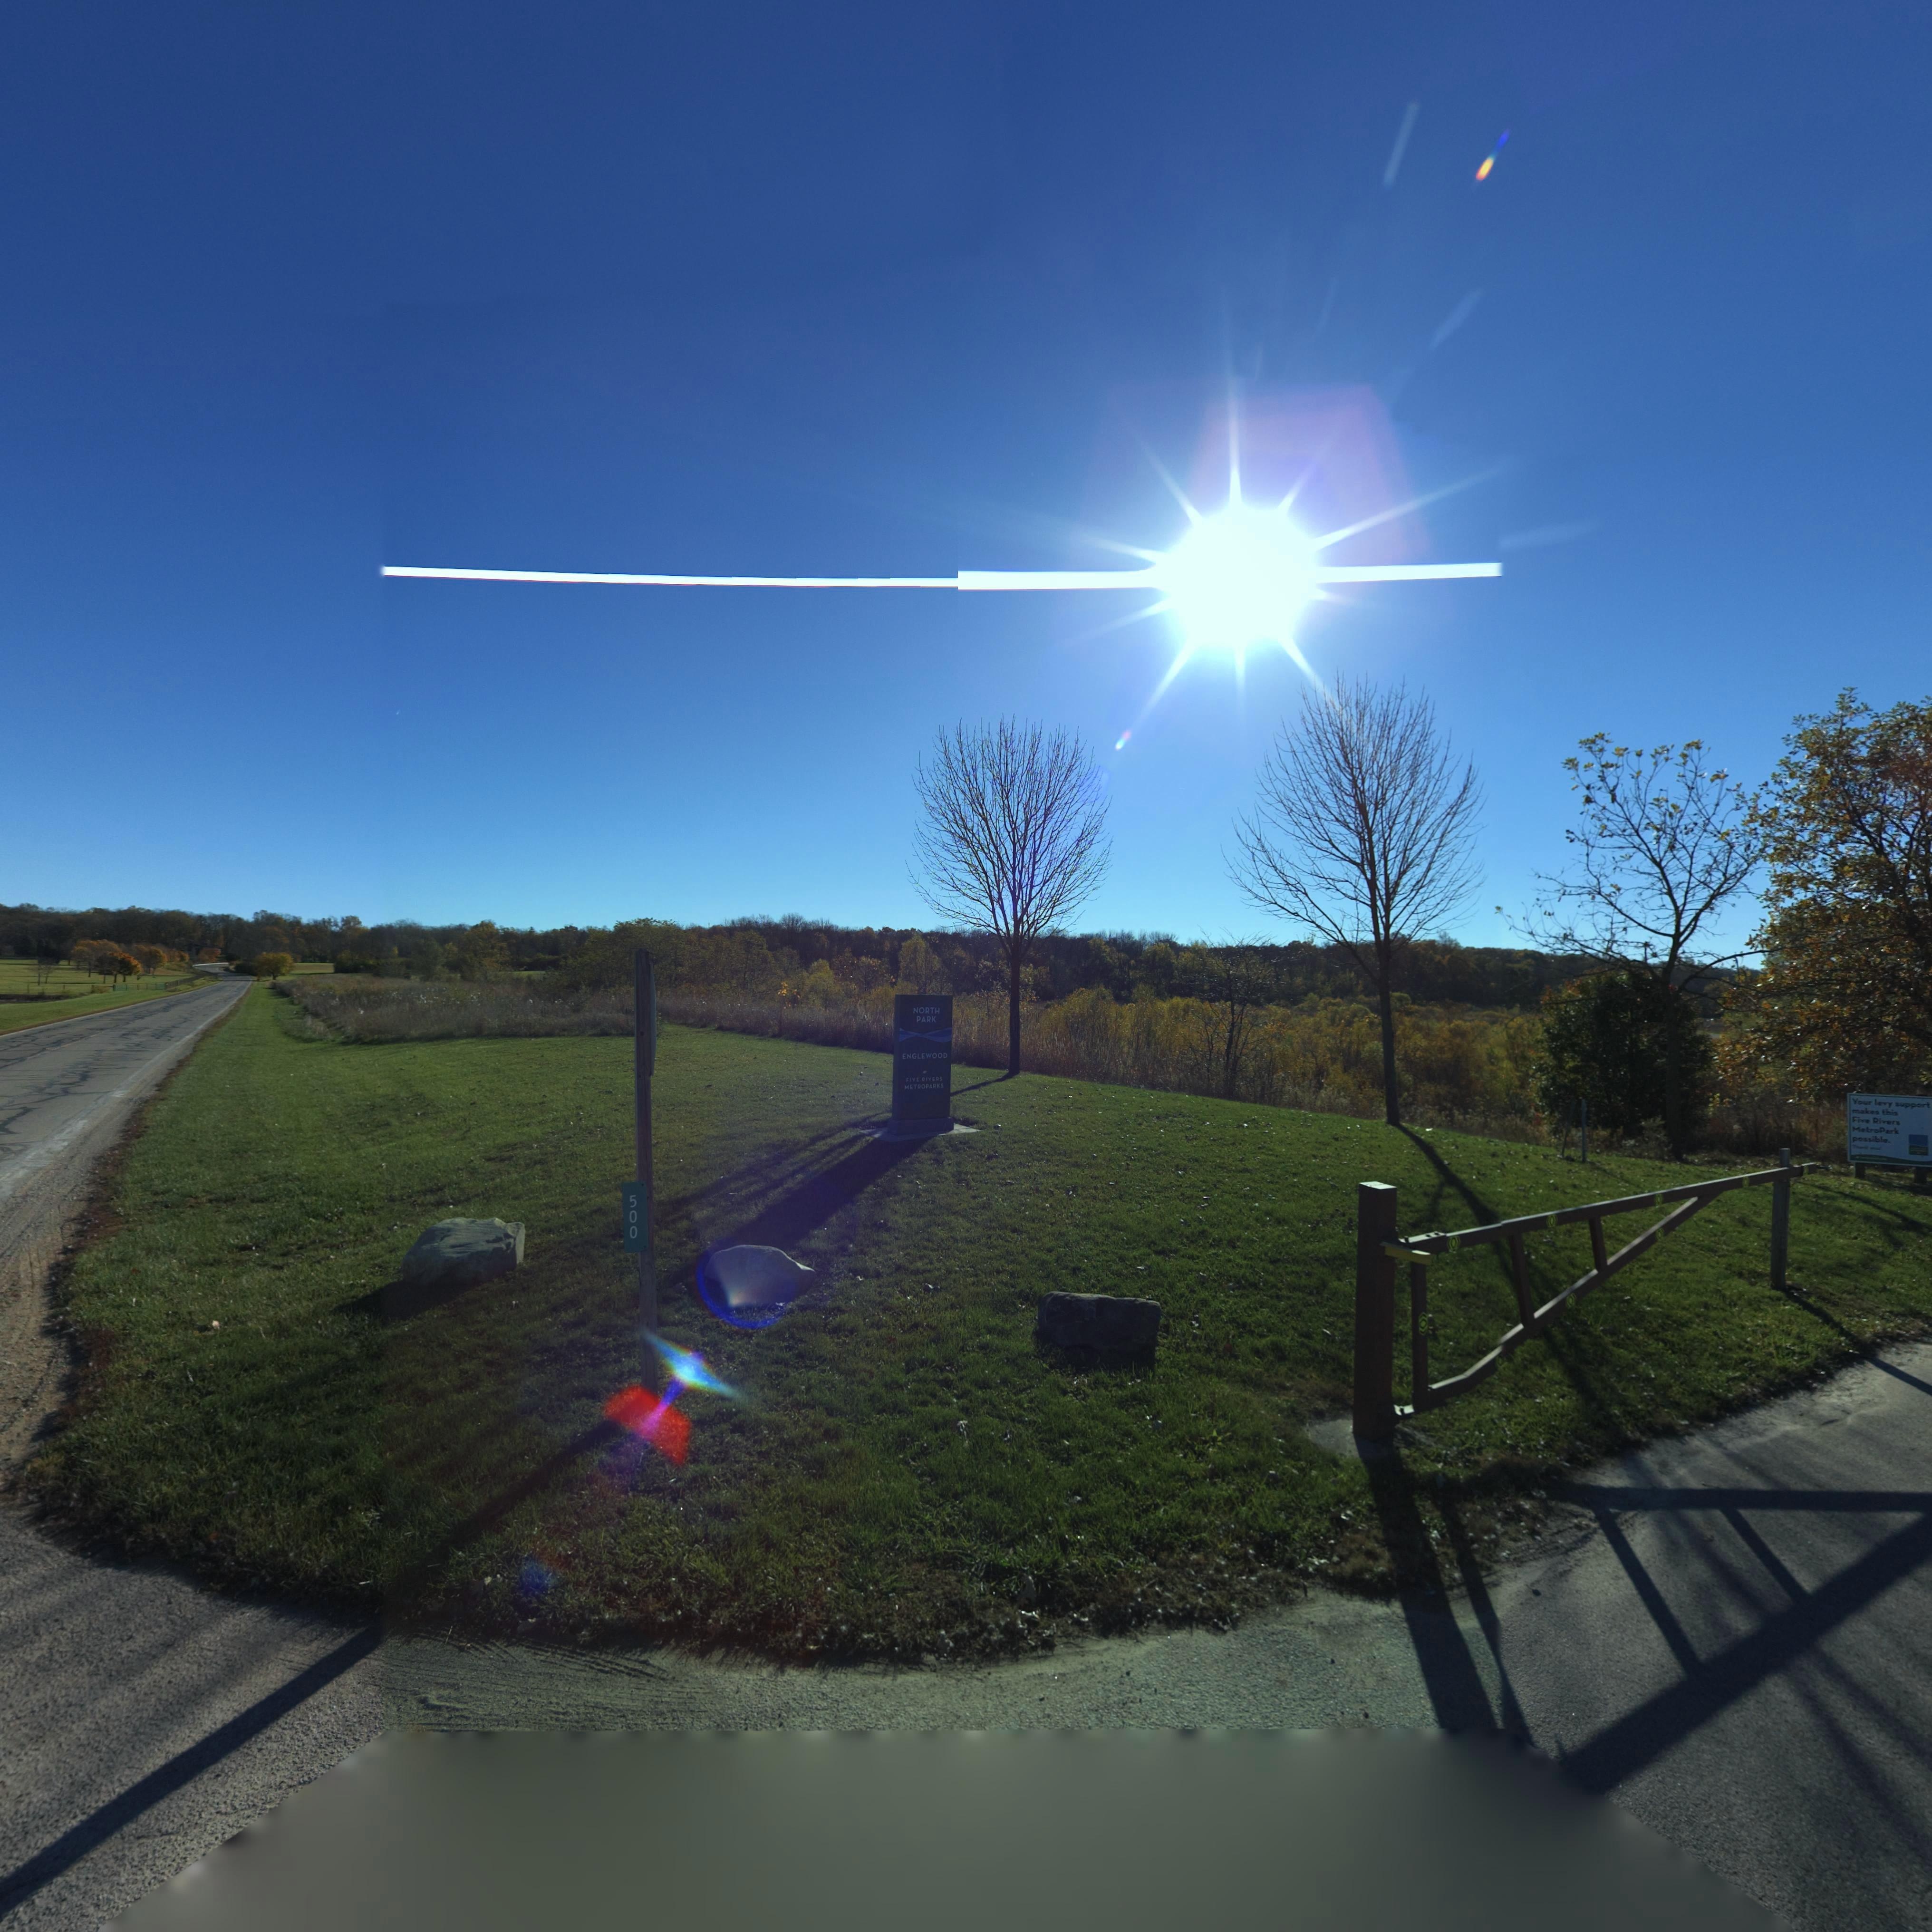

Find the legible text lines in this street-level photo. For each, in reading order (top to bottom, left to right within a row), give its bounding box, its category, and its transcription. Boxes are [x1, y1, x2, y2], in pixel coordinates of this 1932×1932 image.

[911, 1006, 941, 1015] None: NORTH
[915, 1015, 937, 1024] None: PARK
[900, 1052, 948, 1061] None: ENGLEWOOD
[906, 1075, 943, 1083] None: FIVE RIVERS
[903, 1082, 944, 1091] None: METROPARKS
[1853, 1096, 1931, 1110] None: Your levy support
[1851, 1115, 1902, 1127] None: Five Rivers
[1852, 1124, 1900, 1136] None: MetroPark
[1852, 1136, 1892, 1146] None: possible.
[628, 1193, 639, 1240] StreetNumber: 500